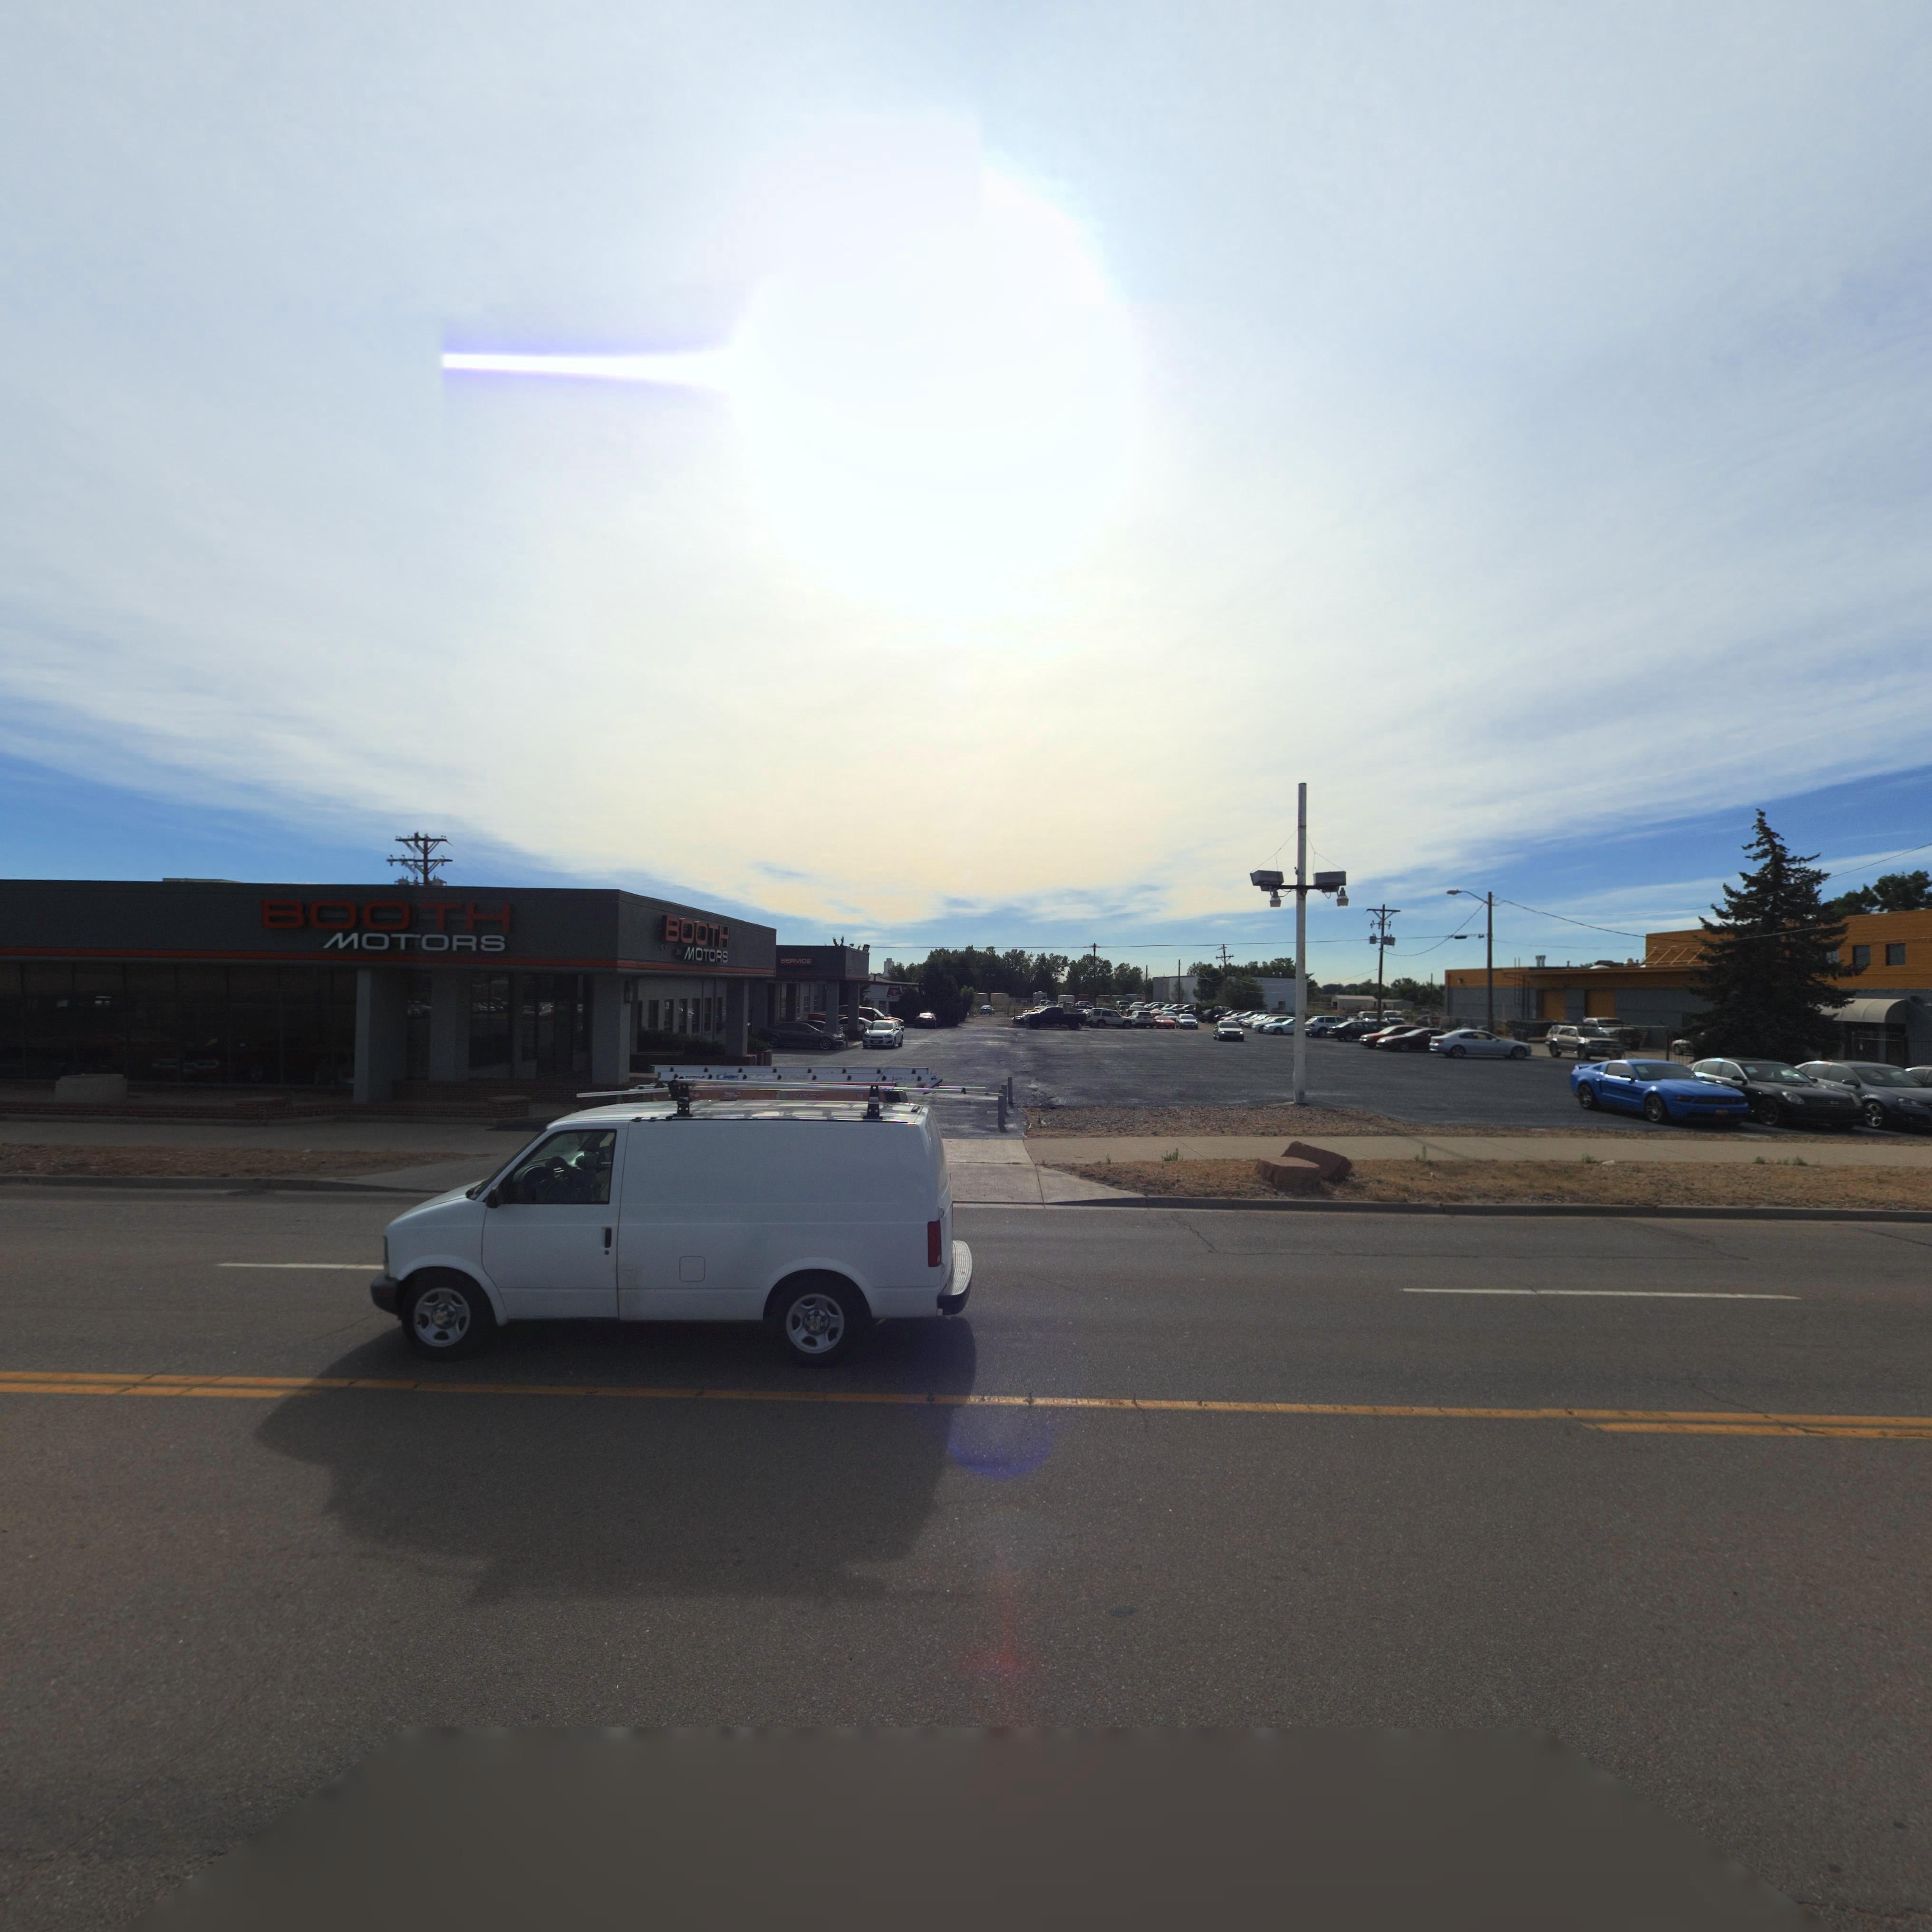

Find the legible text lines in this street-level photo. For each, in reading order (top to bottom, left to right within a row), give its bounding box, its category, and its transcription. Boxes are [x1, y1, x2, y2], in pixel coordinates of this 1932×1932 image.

[261, 899, 510, 933] BusinessName: BOOTH
[323, 932, 505, 952] BusinessName: MOTORS
[665, 915, 730, 947] BusinessName: BOOTH
[683, 946, 728, 963] BusinessName: MOTORS